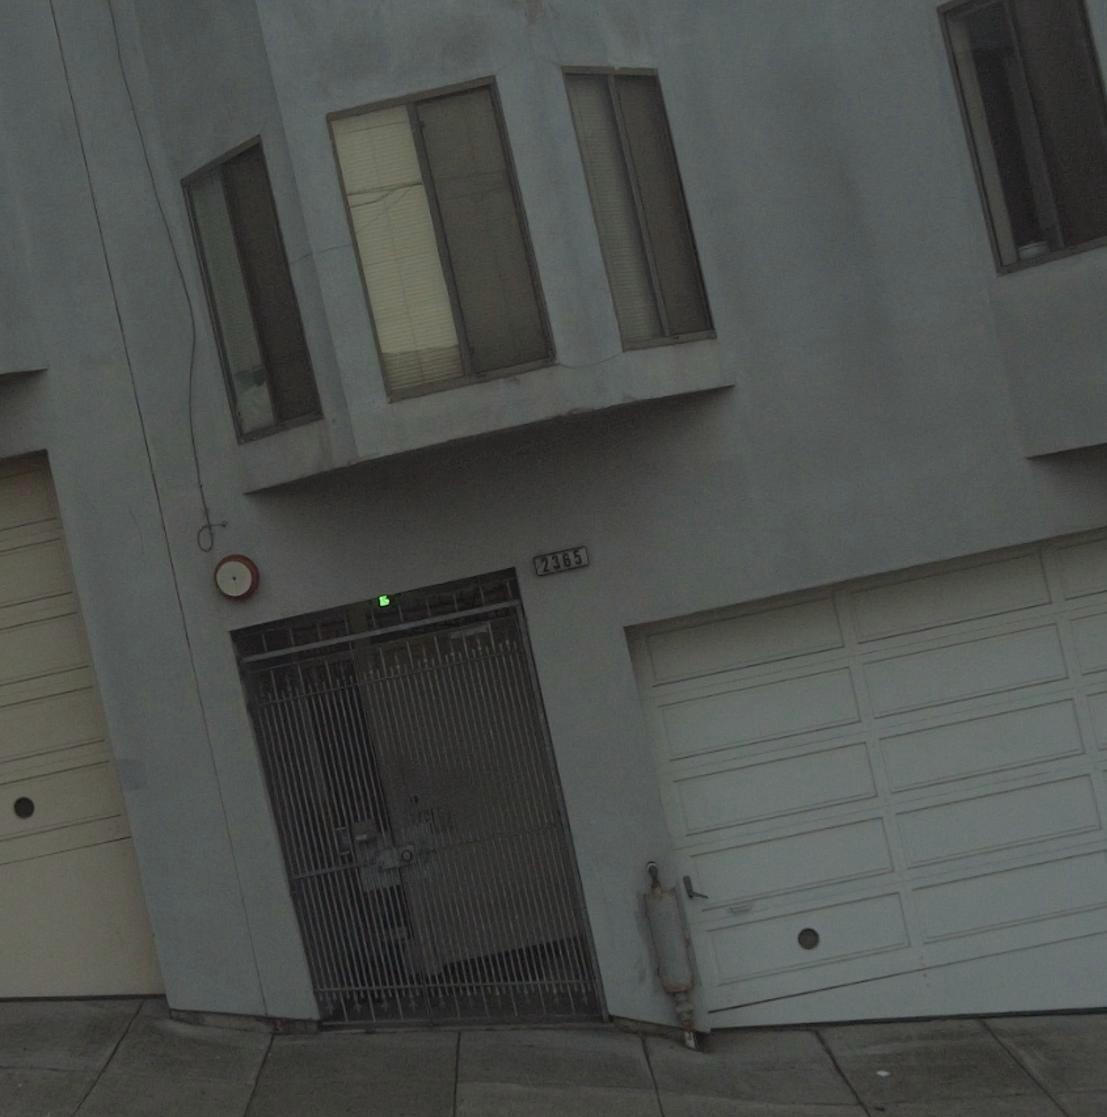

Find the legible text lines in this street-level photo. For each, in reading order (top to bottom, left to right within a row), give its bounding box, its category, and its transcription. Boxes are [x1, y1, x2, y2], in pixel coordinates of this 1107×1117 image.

[539, 548, 585, 574] StreetNumber: 2365